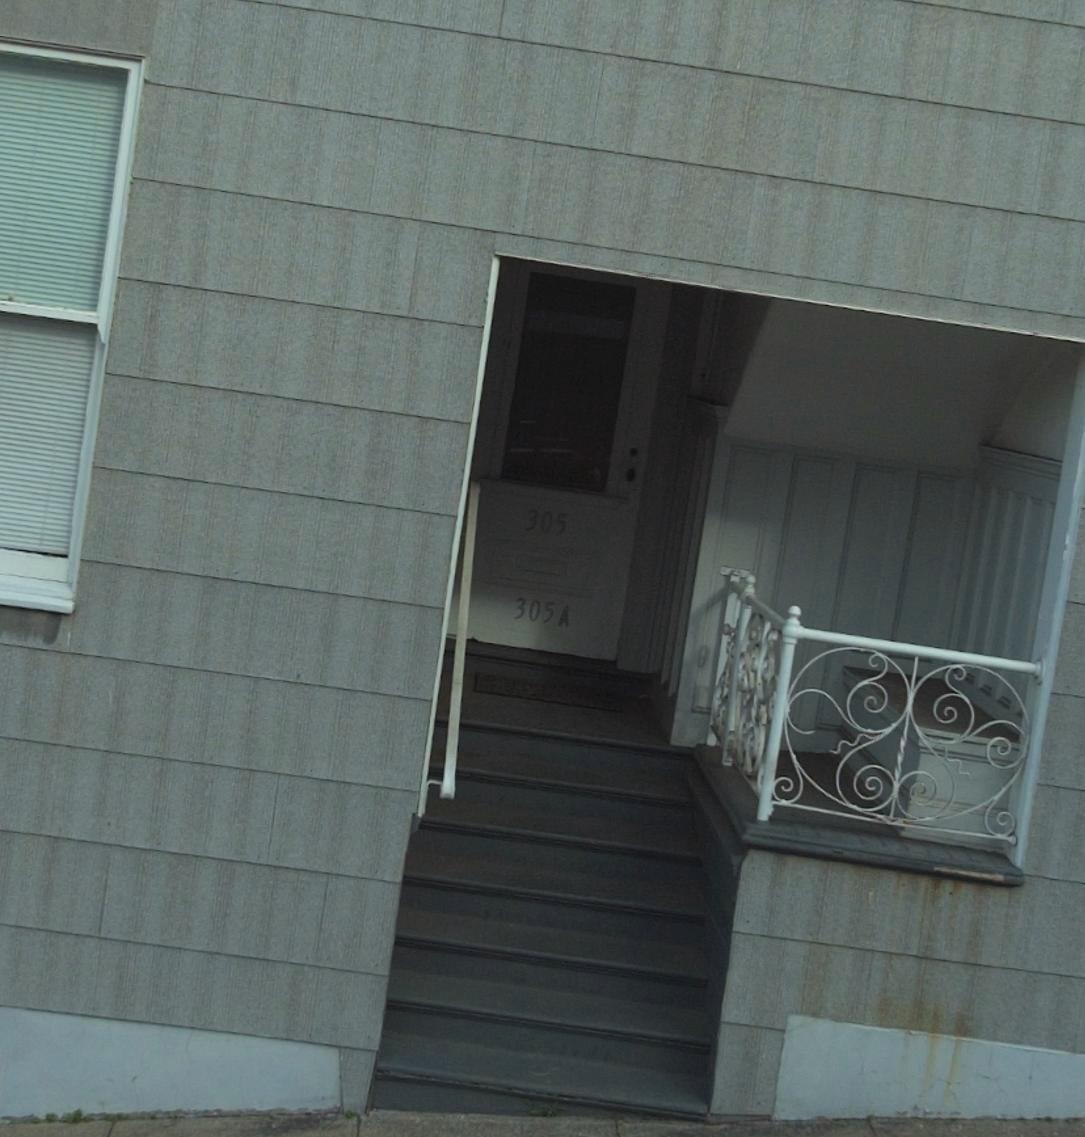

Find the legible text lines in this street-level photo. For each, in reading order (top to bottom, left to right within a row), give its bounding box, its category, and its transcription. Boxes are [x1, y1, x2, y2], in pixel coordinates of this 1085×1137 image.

[525, 508, 571, 536] StreetNumber: 305
[512, 596, 570, 628] StreetNumber: 305A